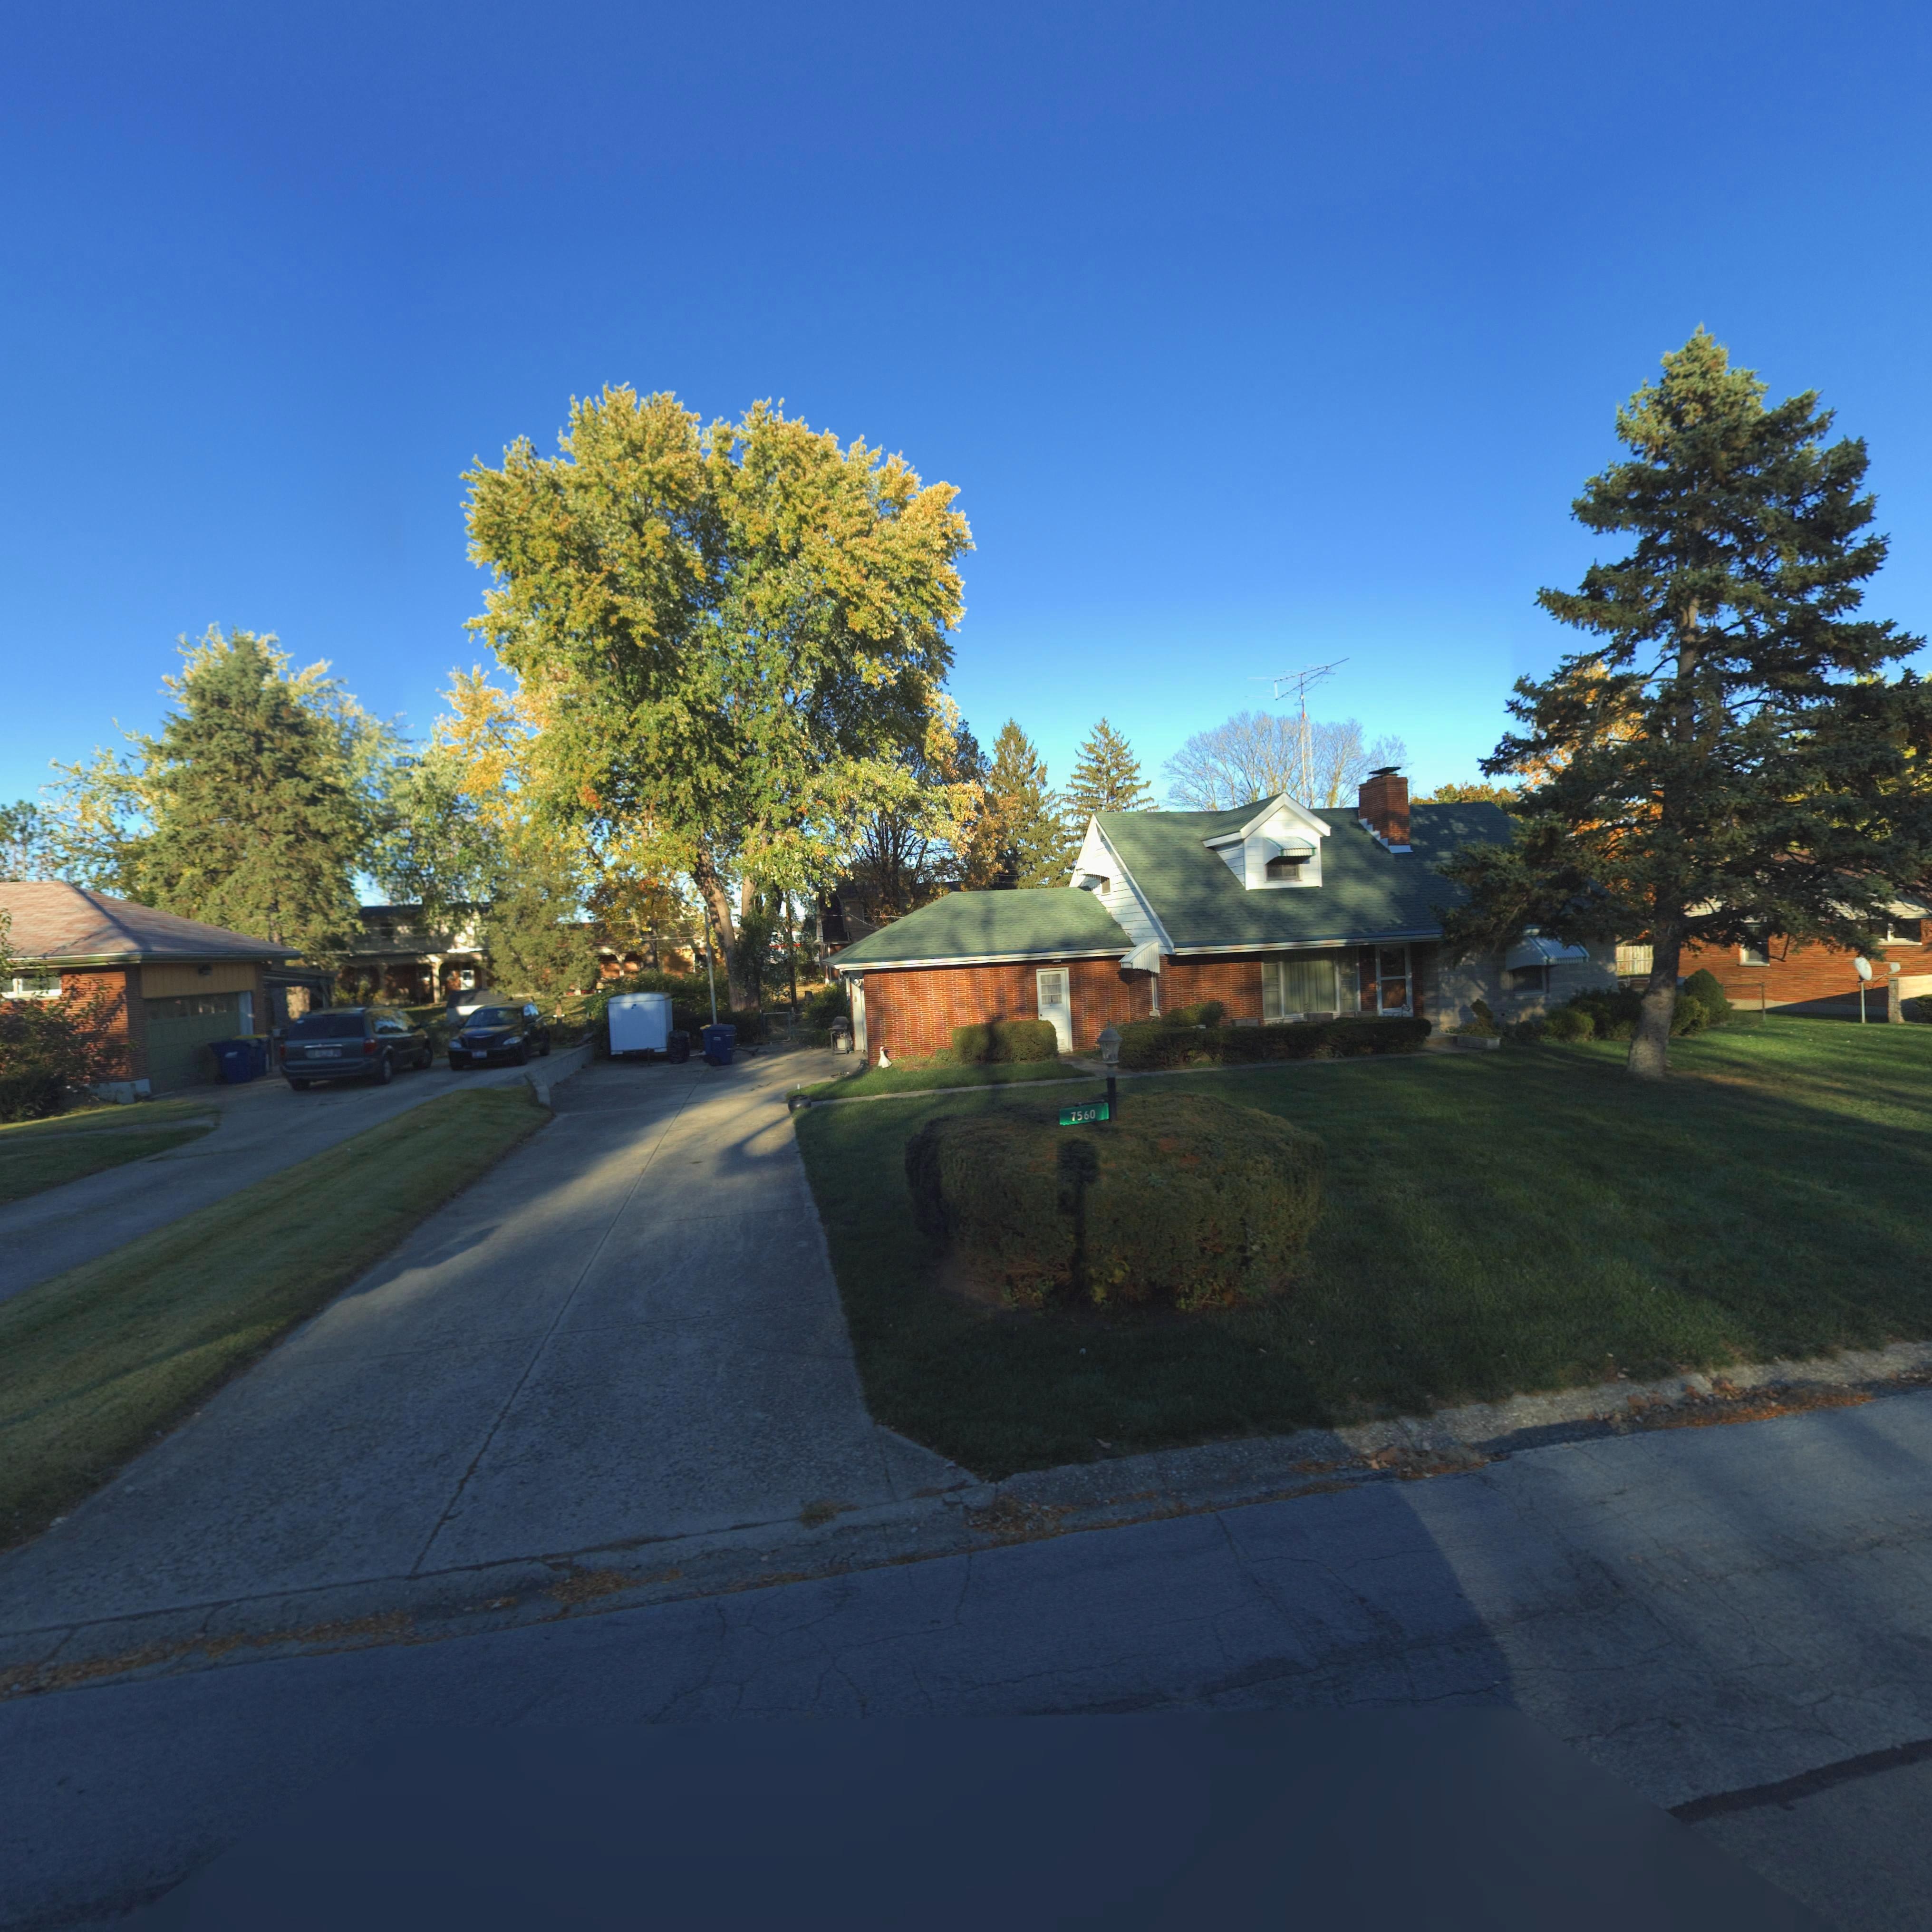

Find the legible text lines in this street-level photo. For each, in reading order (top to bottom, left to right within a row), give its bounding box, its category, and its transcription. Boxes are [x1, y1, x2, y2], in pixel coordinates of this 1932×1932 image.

[1069, 1108, 1097, 1123] StreetNumber: 7560